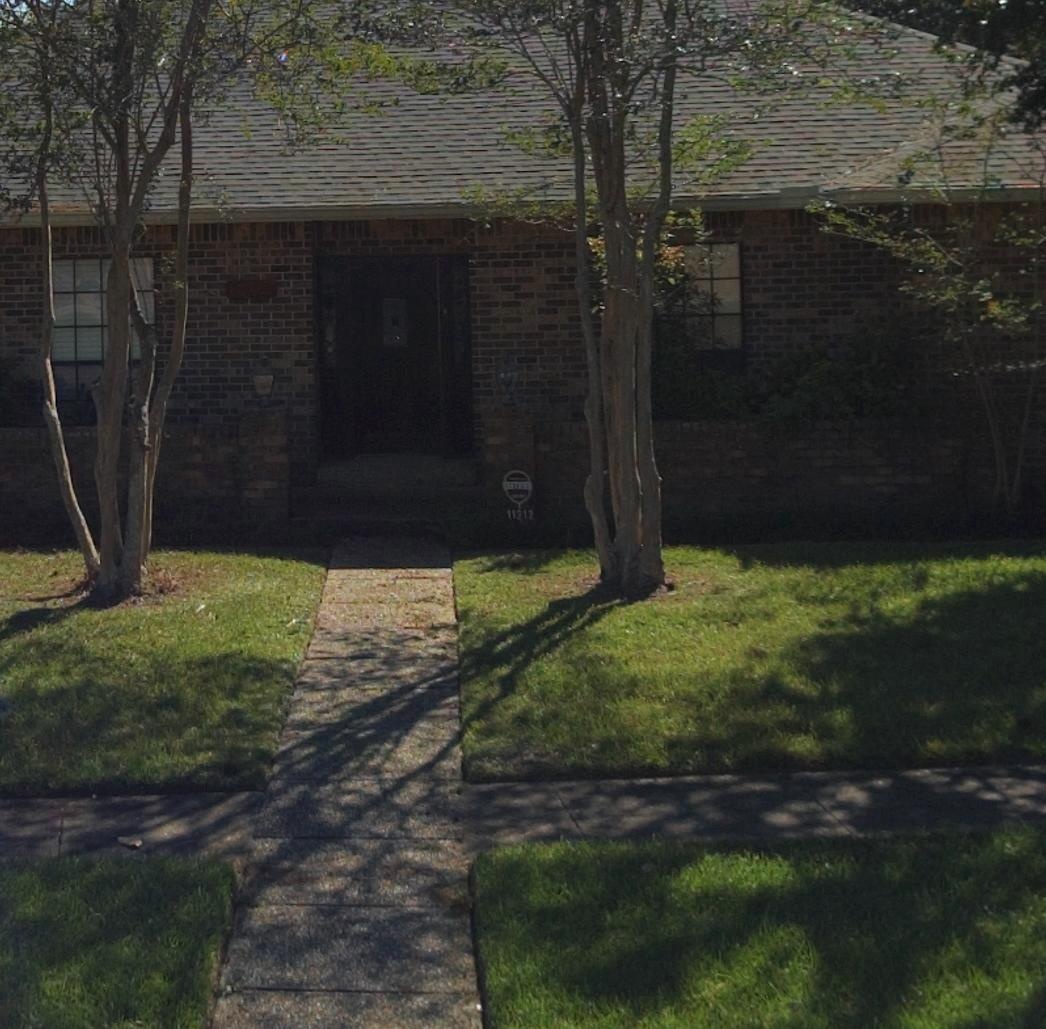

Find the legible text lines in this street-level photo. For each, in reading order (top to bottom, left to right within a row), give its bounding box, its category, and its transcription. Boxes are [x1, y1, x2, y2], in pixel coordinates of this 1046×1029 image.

[502, 481, 533, 490] None: CERTIFIED
[506, 508, 534, 520] StreetNumber: 11312